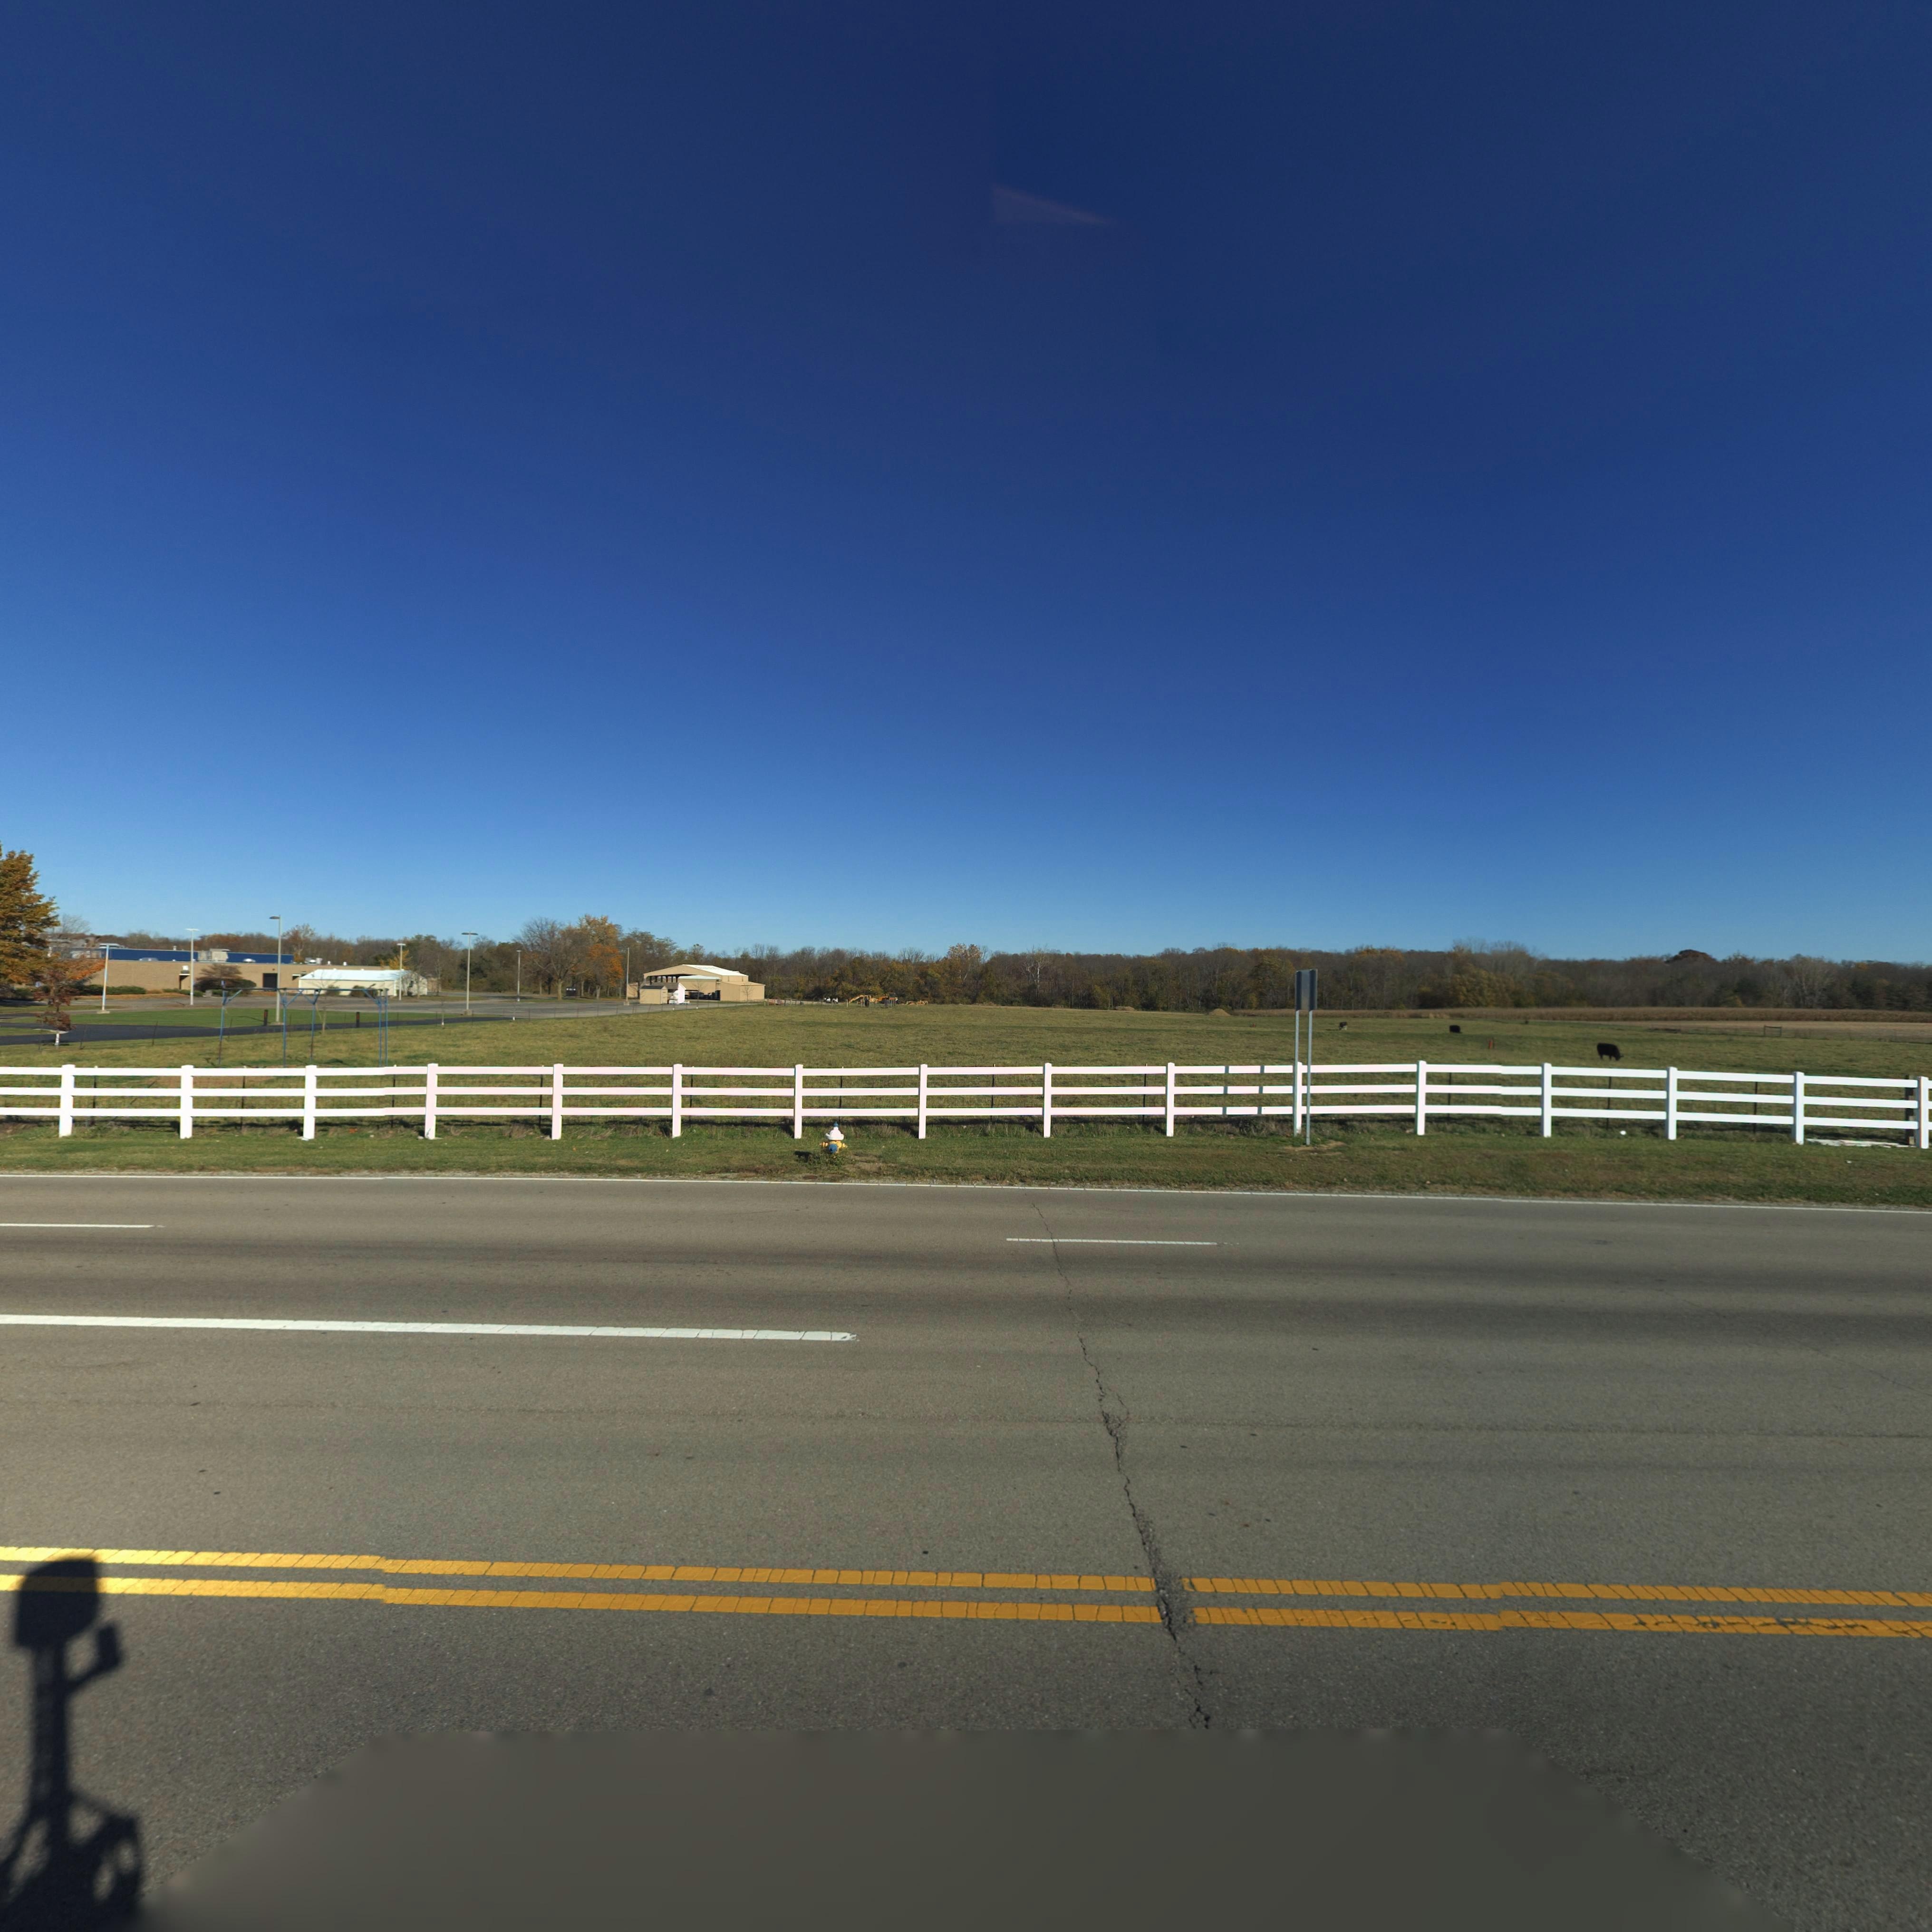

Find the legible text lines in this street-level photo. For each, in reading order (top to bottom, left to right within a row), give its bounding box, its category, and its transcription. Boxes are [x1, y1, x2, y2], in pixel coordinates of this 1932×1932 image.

[182, 965, 189, 970] StreetNumber: 16